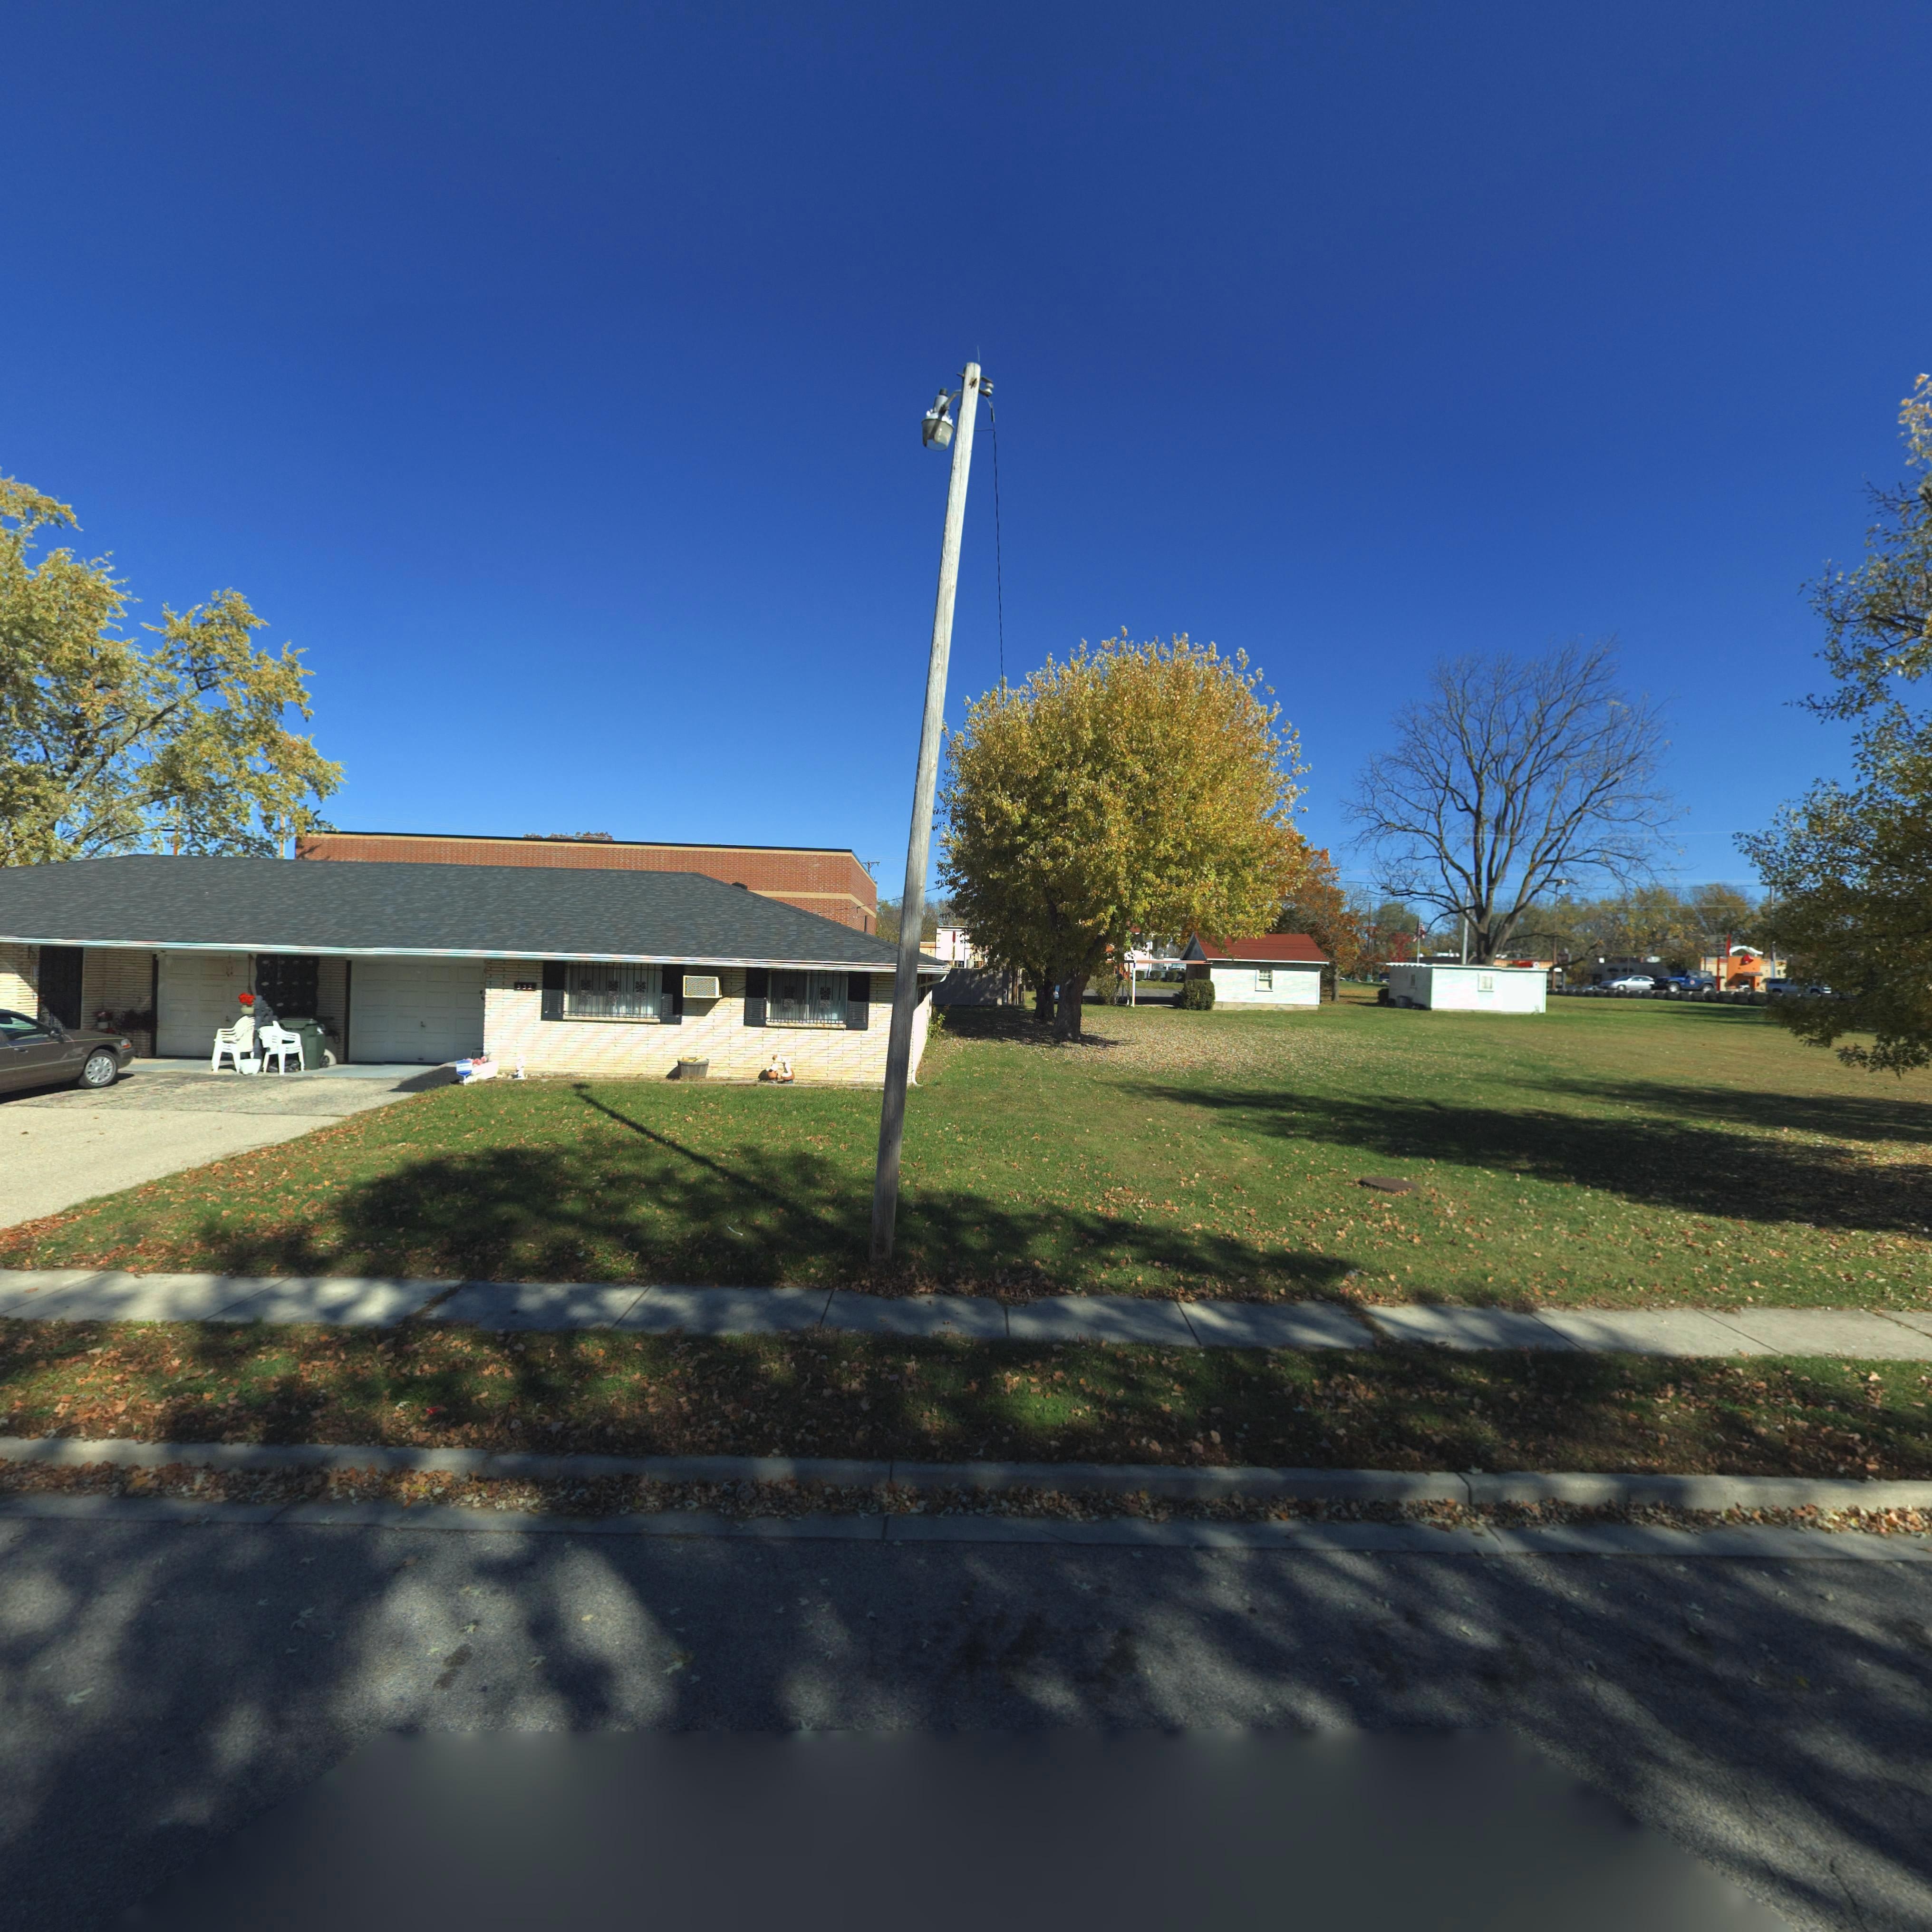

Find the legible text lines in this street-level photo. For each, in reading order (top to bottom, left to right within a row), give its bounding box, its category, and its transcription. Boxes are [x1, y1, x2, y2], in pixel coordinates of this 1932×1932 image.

[516, 984, 532, 990] StreetNumber: 532